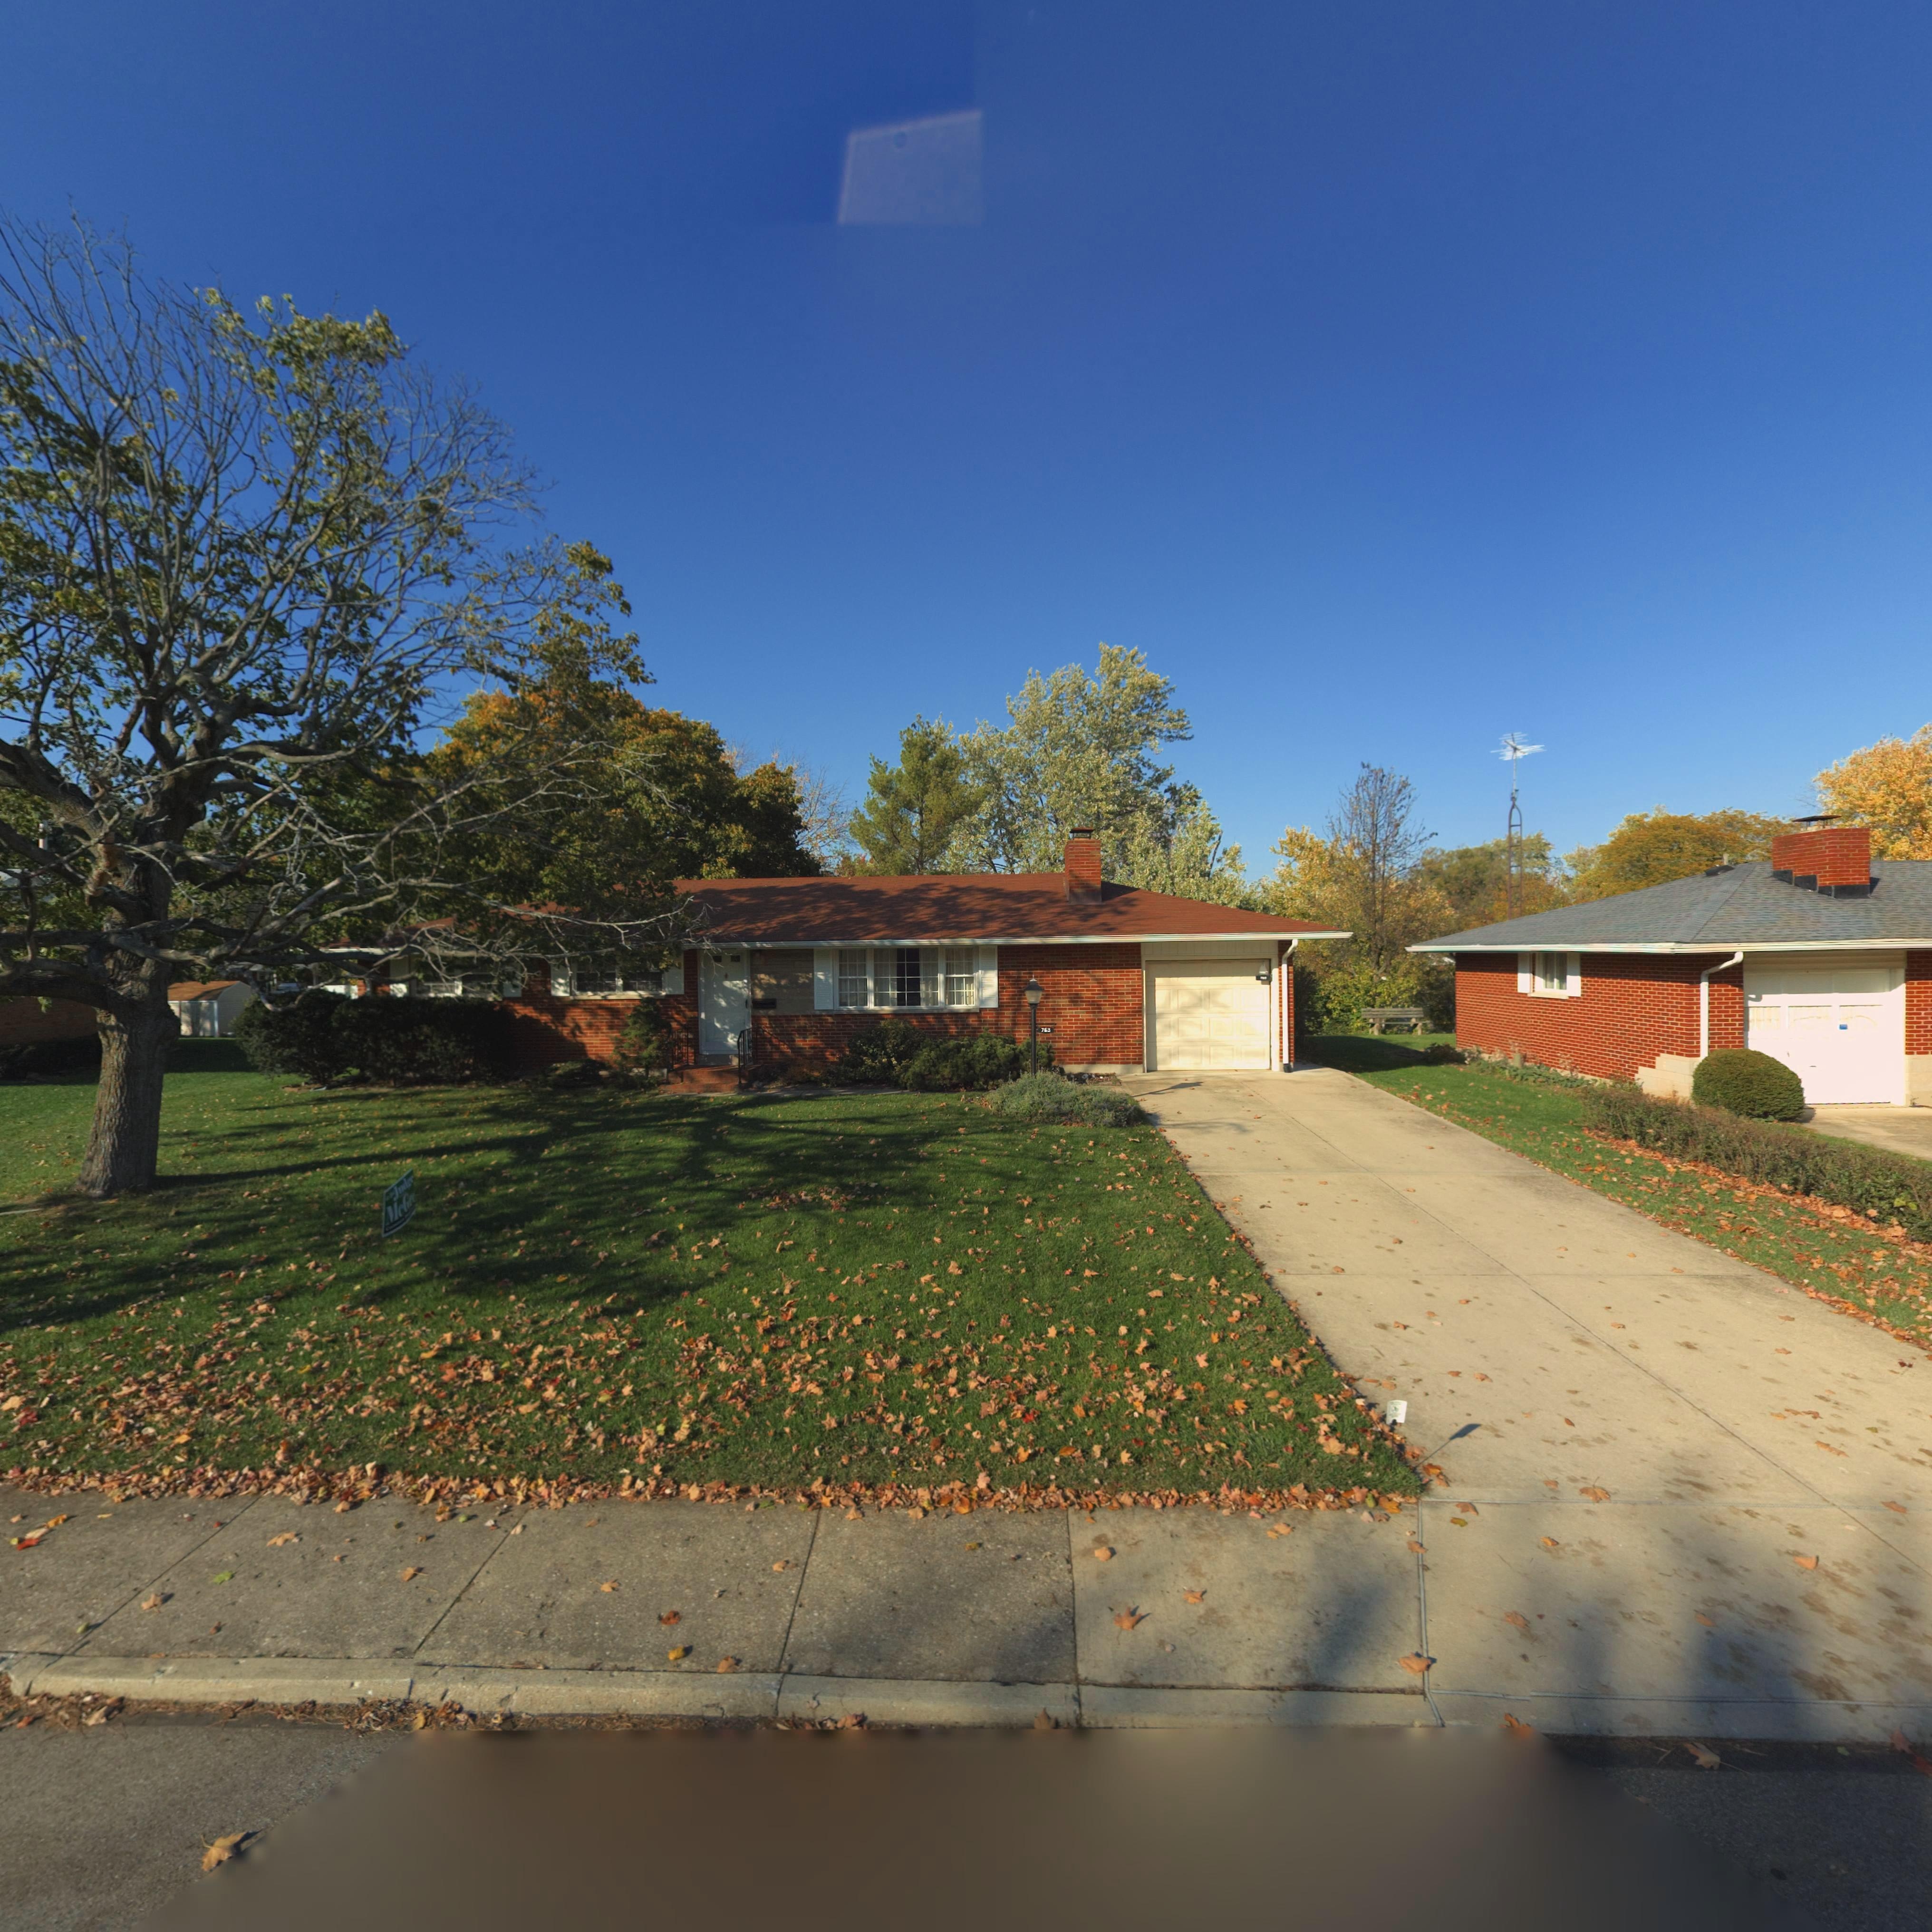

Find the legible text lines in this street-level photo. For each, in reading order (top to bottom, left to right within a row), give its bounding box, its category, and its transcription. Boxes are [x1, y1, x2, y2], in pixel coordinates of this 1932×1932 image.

[1040, 1027, 1051, 1033] StreetNumber: 763